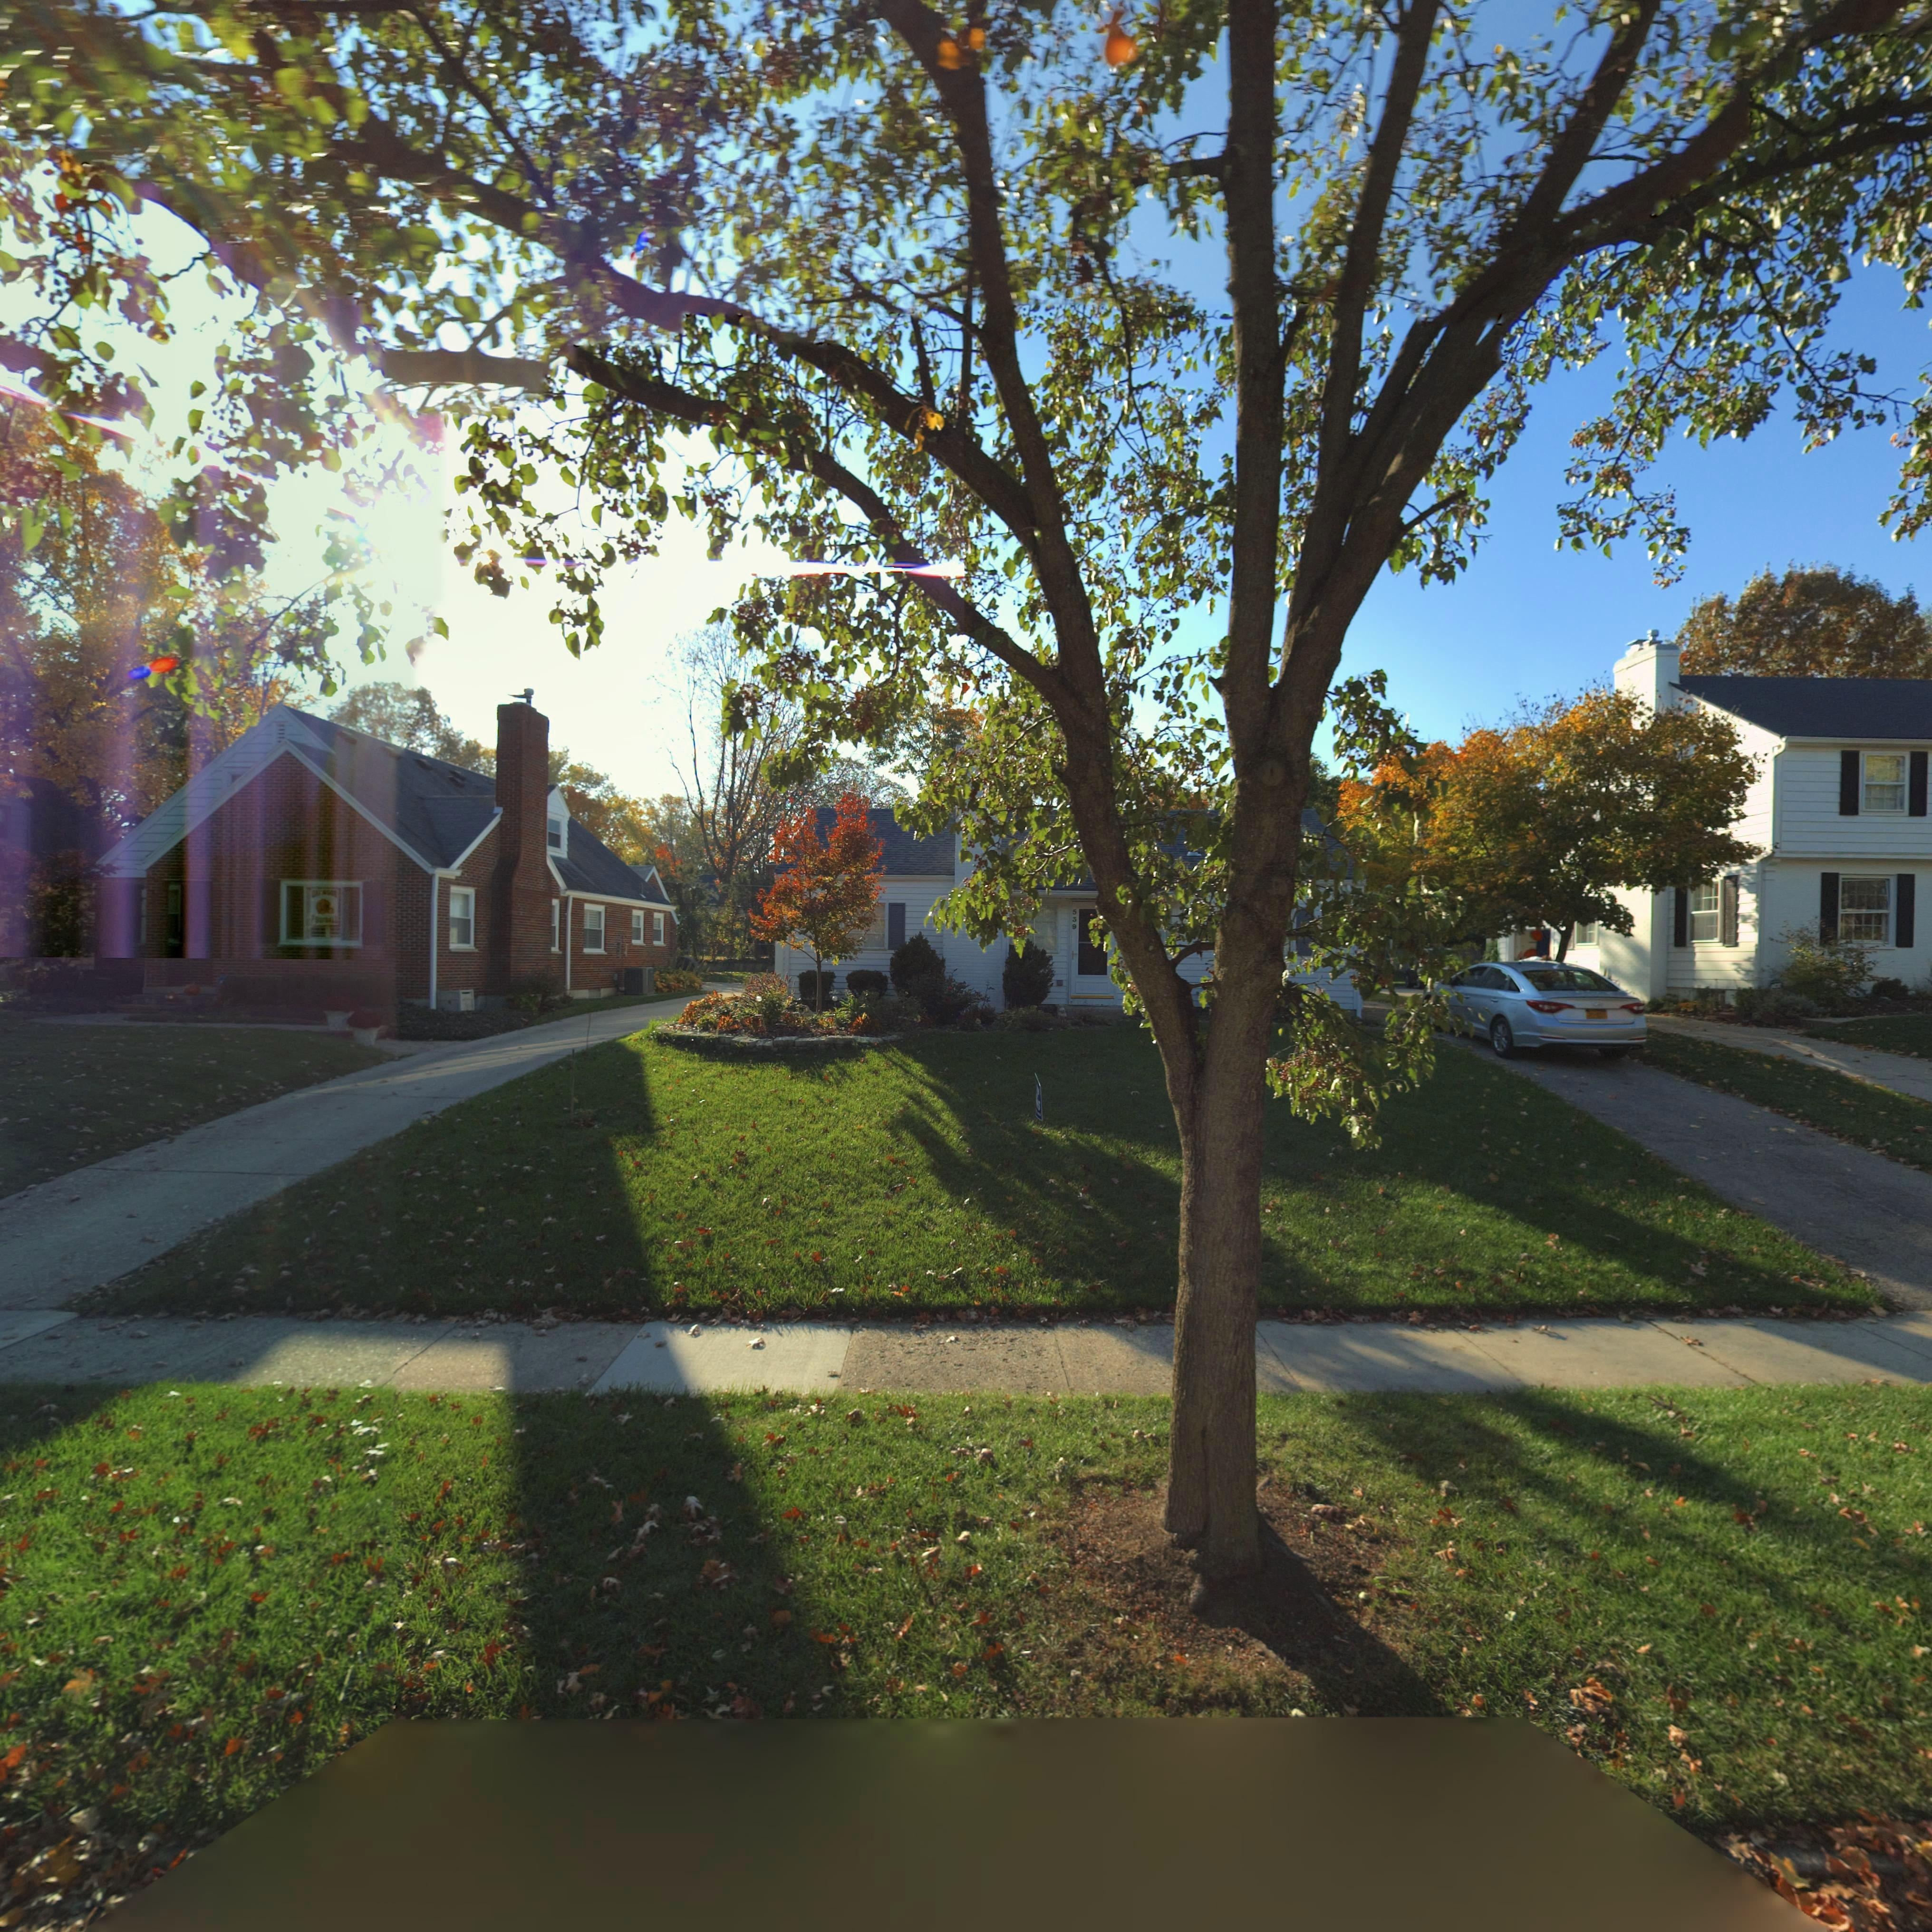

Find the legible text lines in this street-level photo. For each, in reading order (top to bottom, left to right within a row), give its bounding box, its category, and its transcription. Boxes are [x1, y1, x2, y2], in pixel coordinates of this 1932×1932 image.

[1072, 908, 1077, 930] StreetNumber: 539